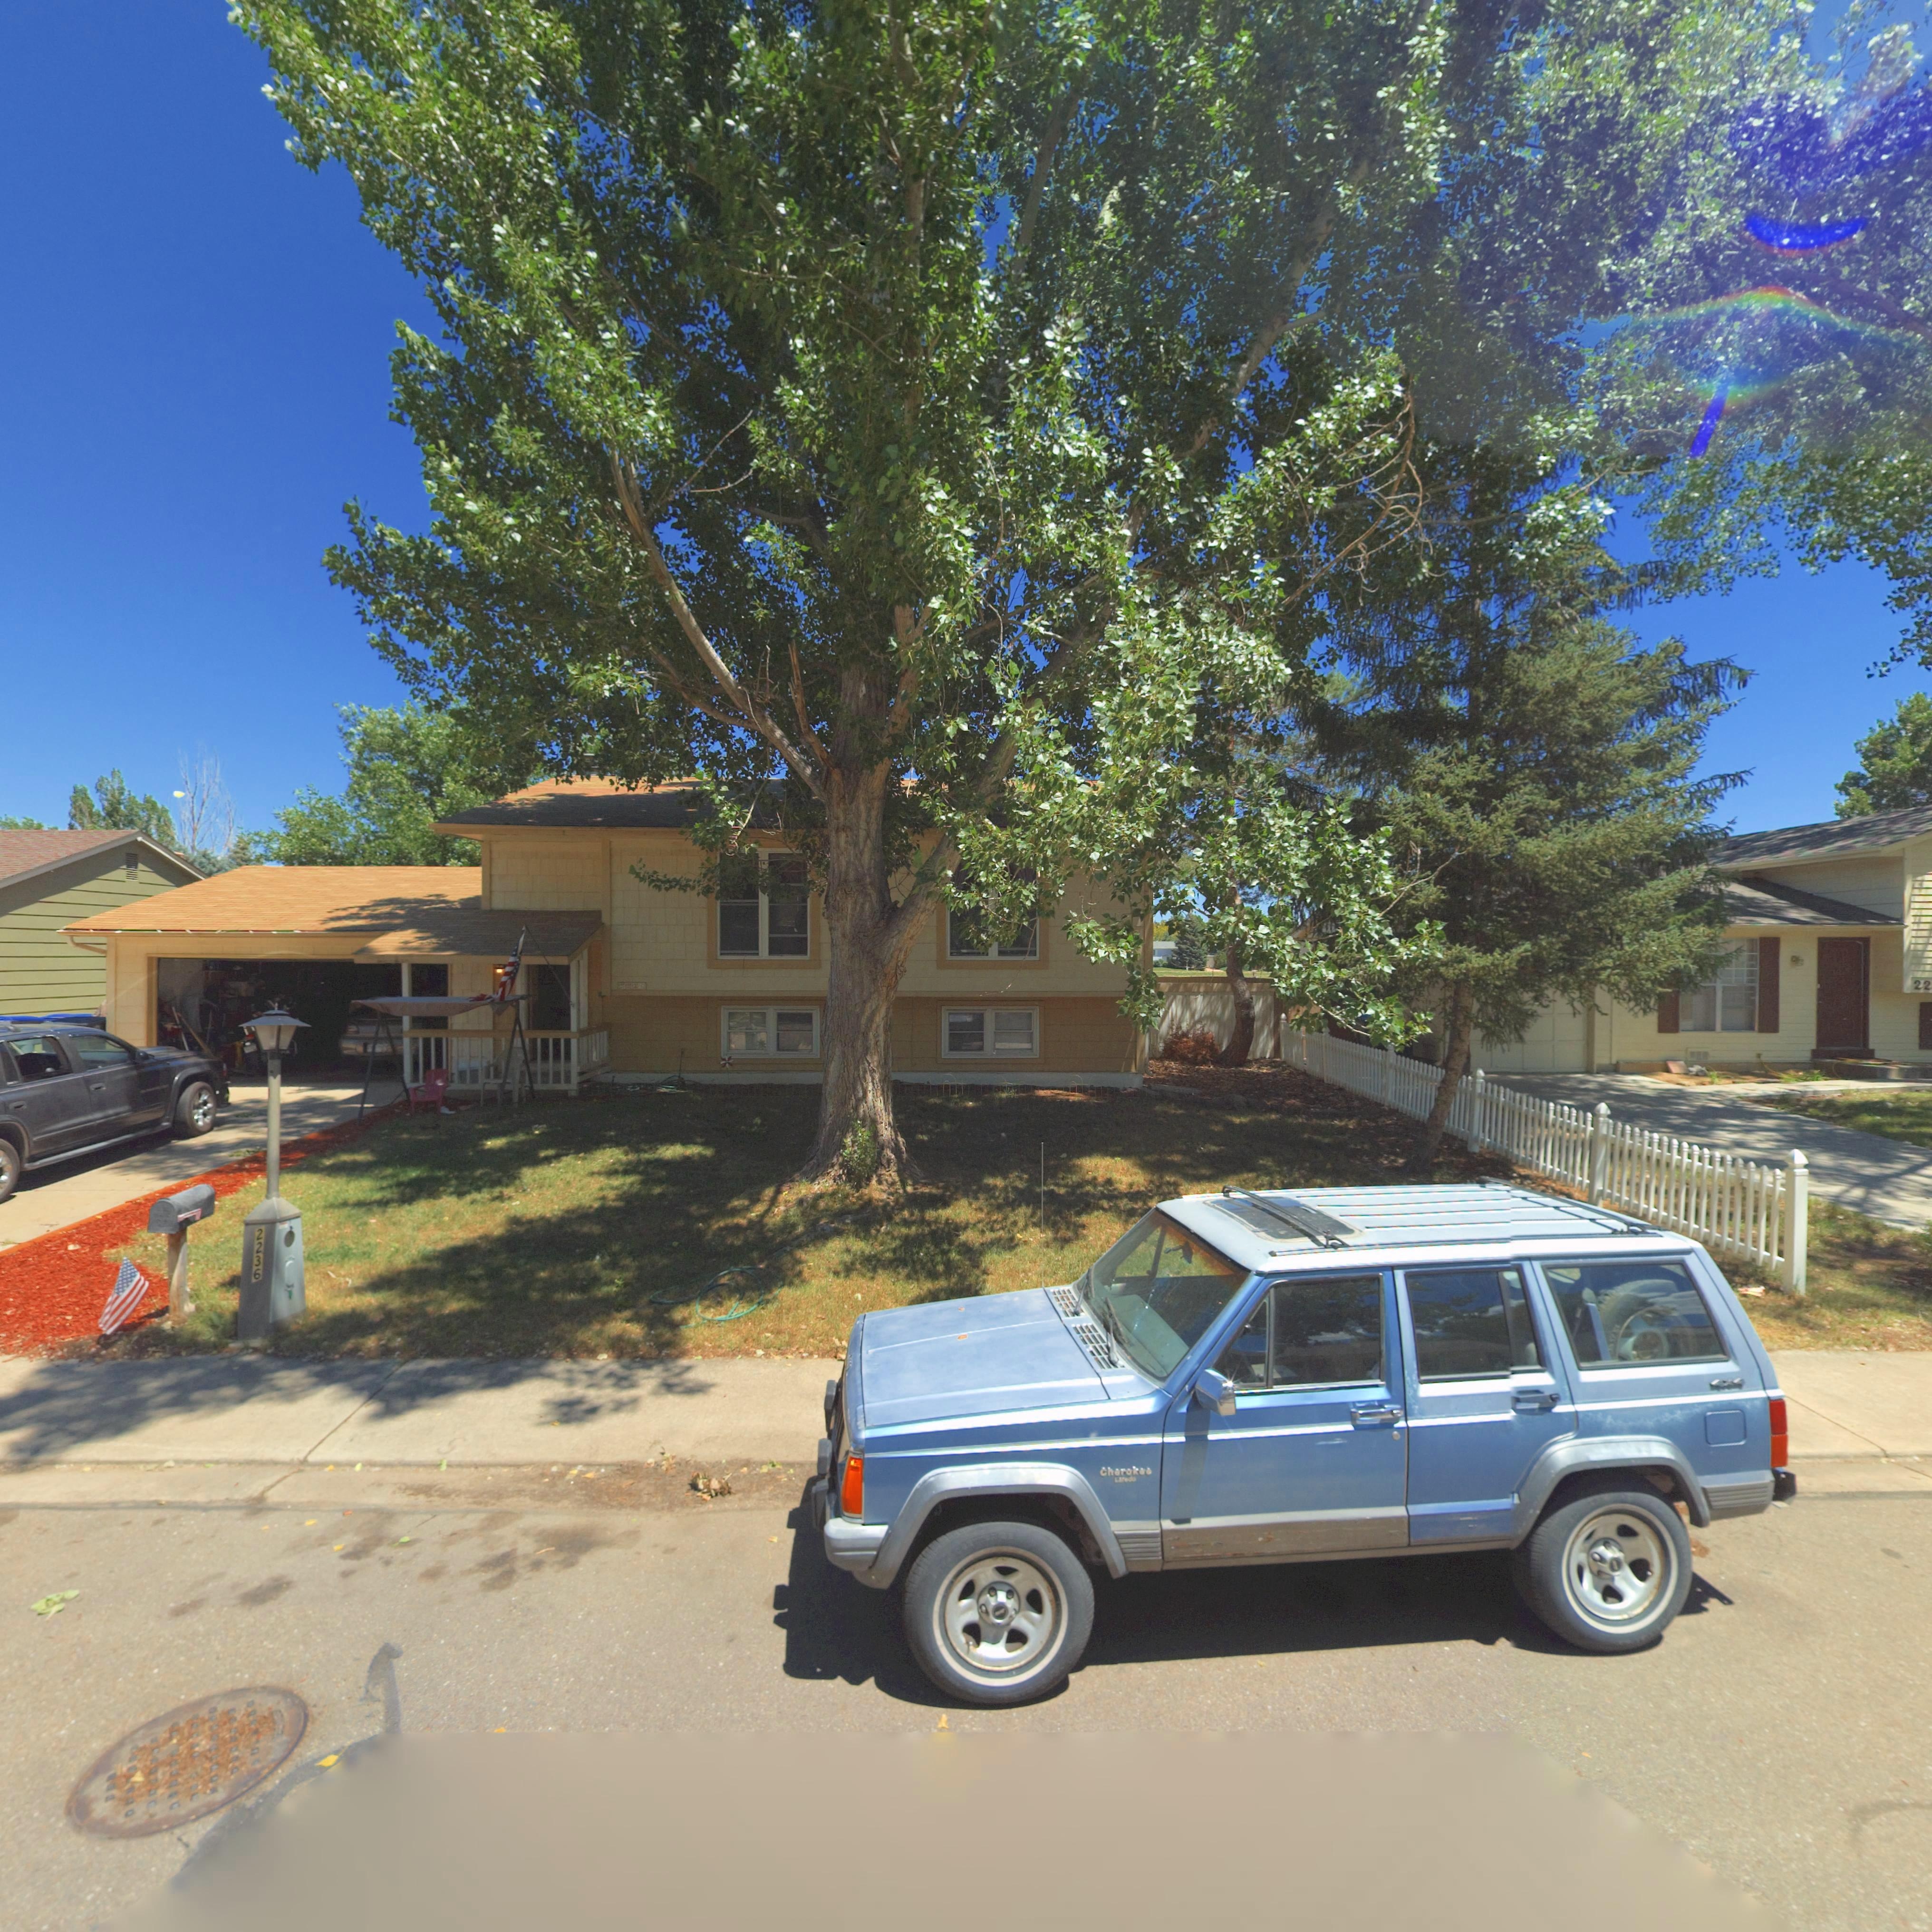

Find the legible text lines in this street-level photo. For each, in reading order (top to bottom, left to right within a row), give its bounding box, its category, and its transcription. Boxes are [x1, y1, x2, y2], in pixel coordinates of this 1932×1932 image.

[618, 982, 645, 989] StreetNumber: 2*3*
[1913, 980, 1931, 990] StreetNumber: 22
[251, 1226, 265, 1283] StreetNumber: 2236